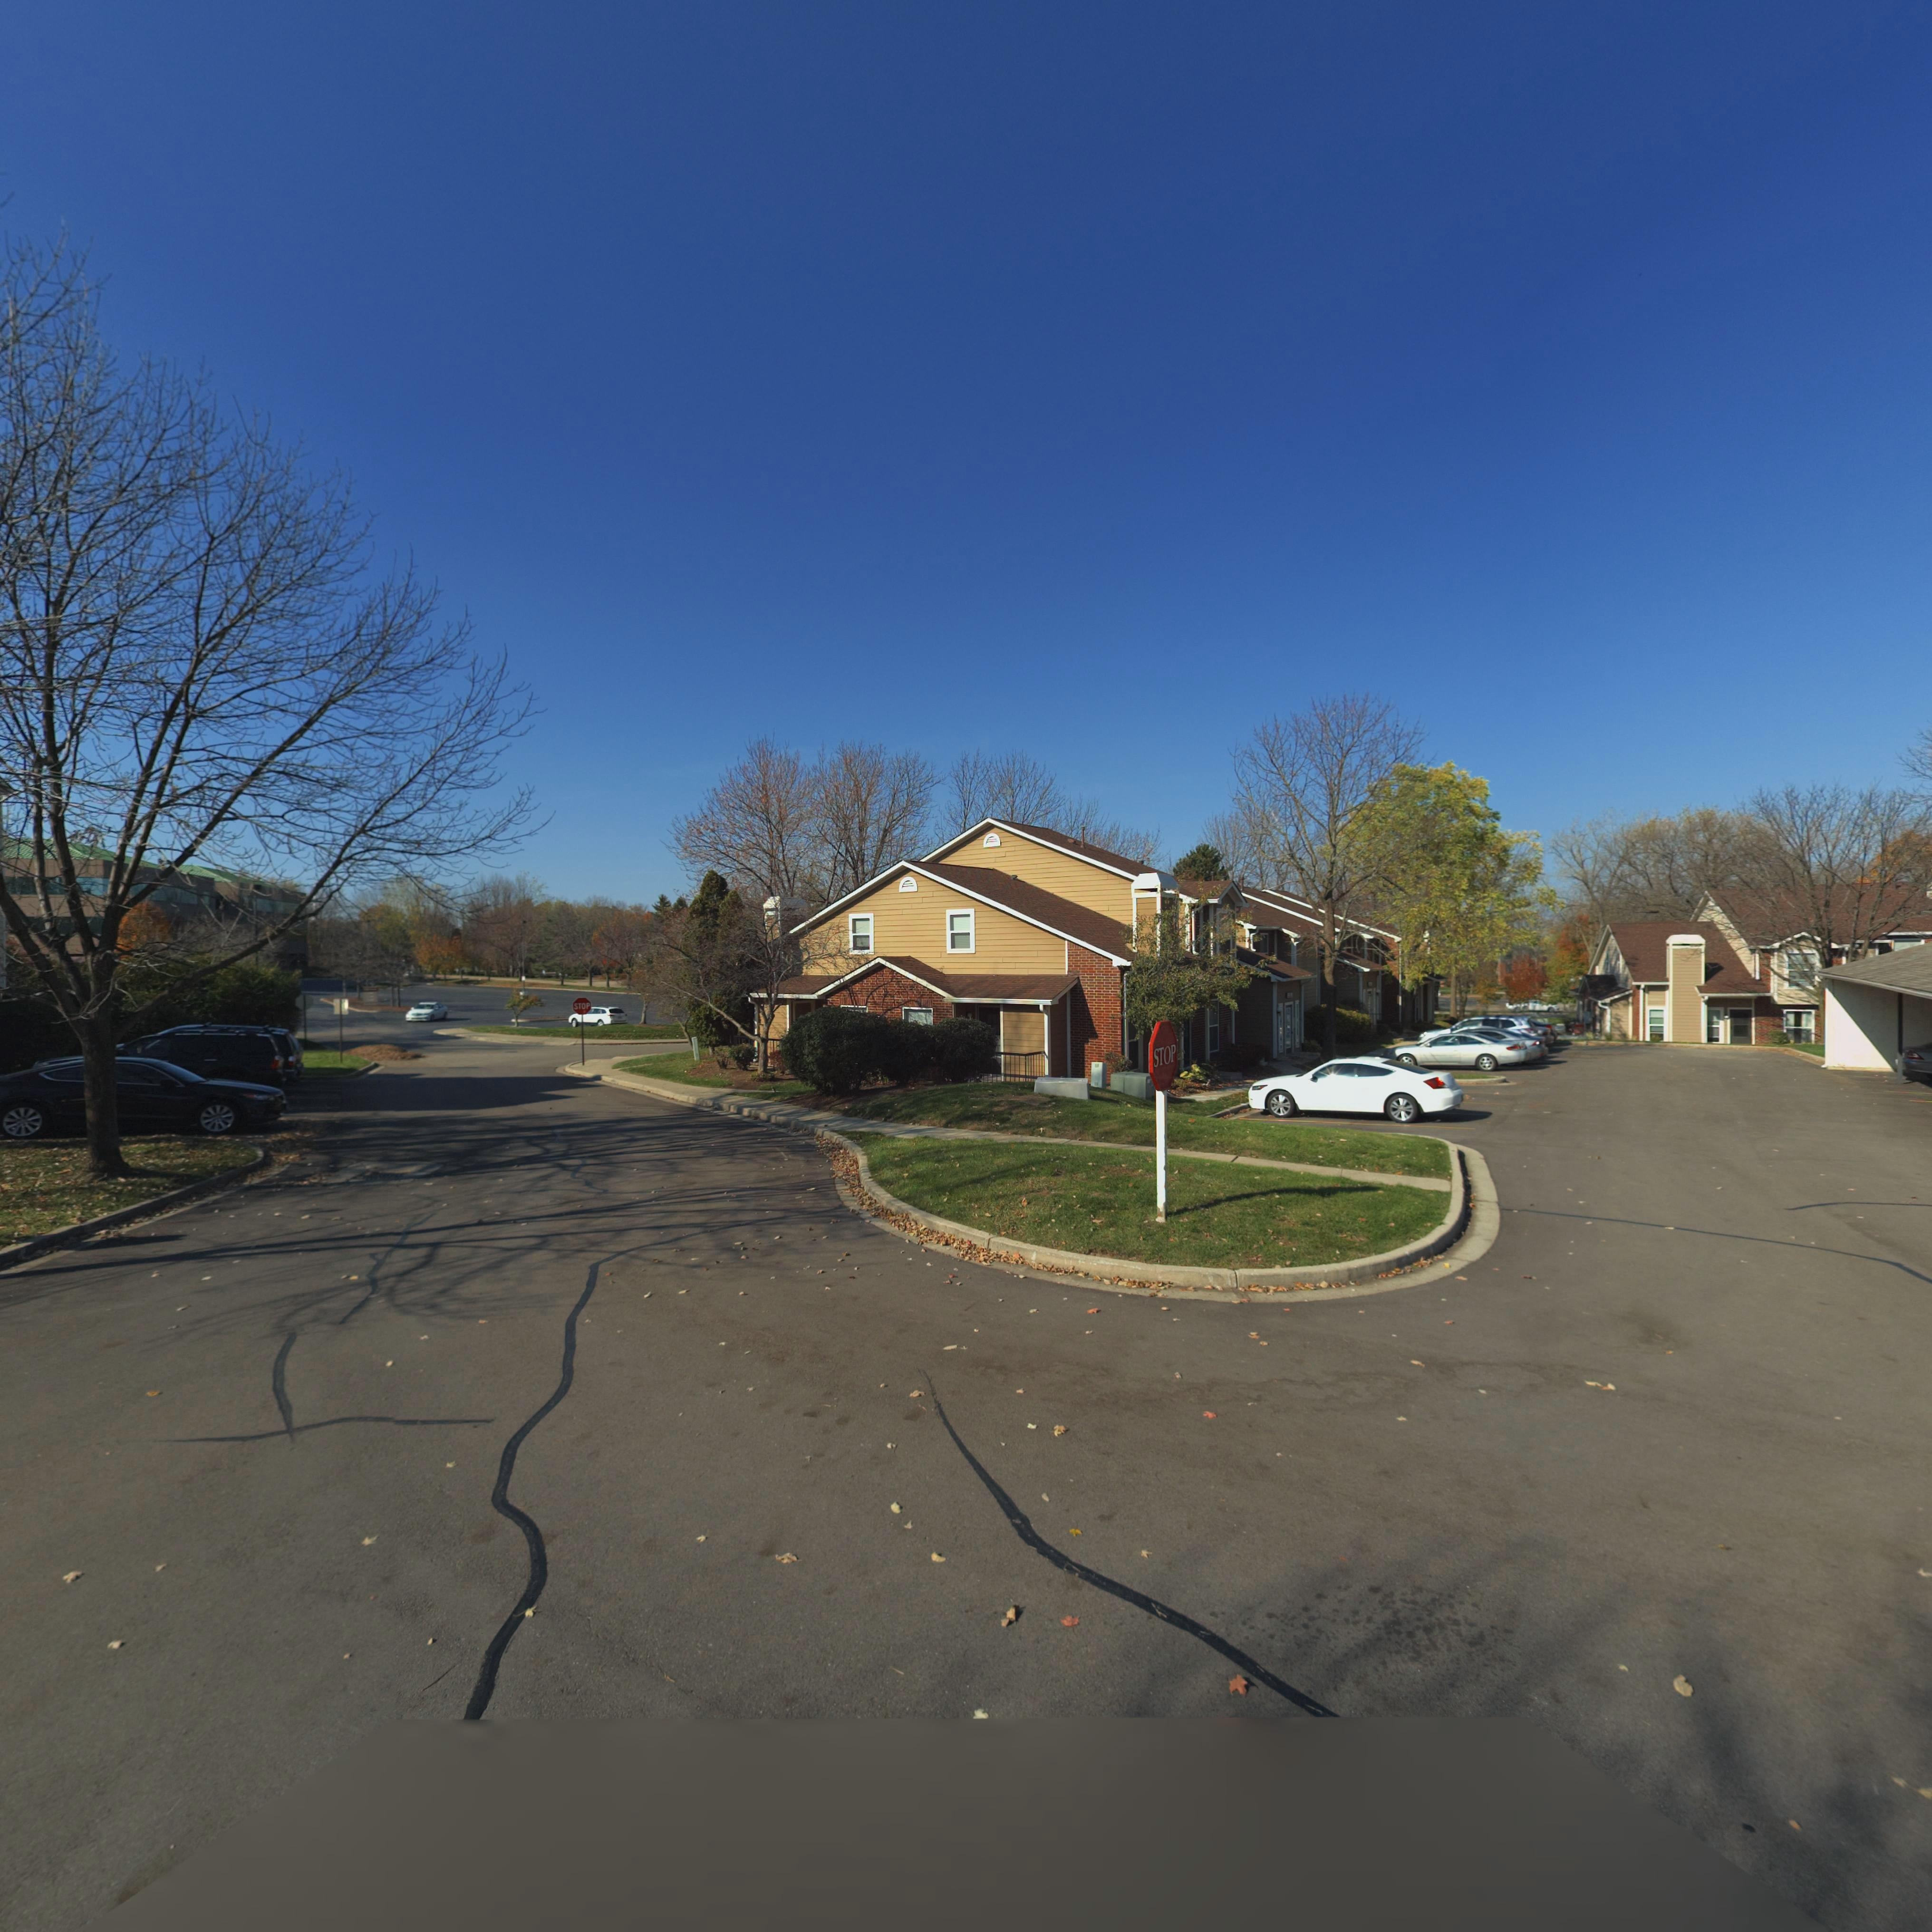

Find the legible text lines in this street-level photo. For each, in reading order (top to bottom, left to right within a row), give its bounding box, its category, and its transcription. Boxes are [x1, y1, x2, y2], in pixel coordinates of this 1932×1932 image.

[573, 1001, 591, 1011] None: STOP
[1152, 1043, 1177, 1069] None: STOP